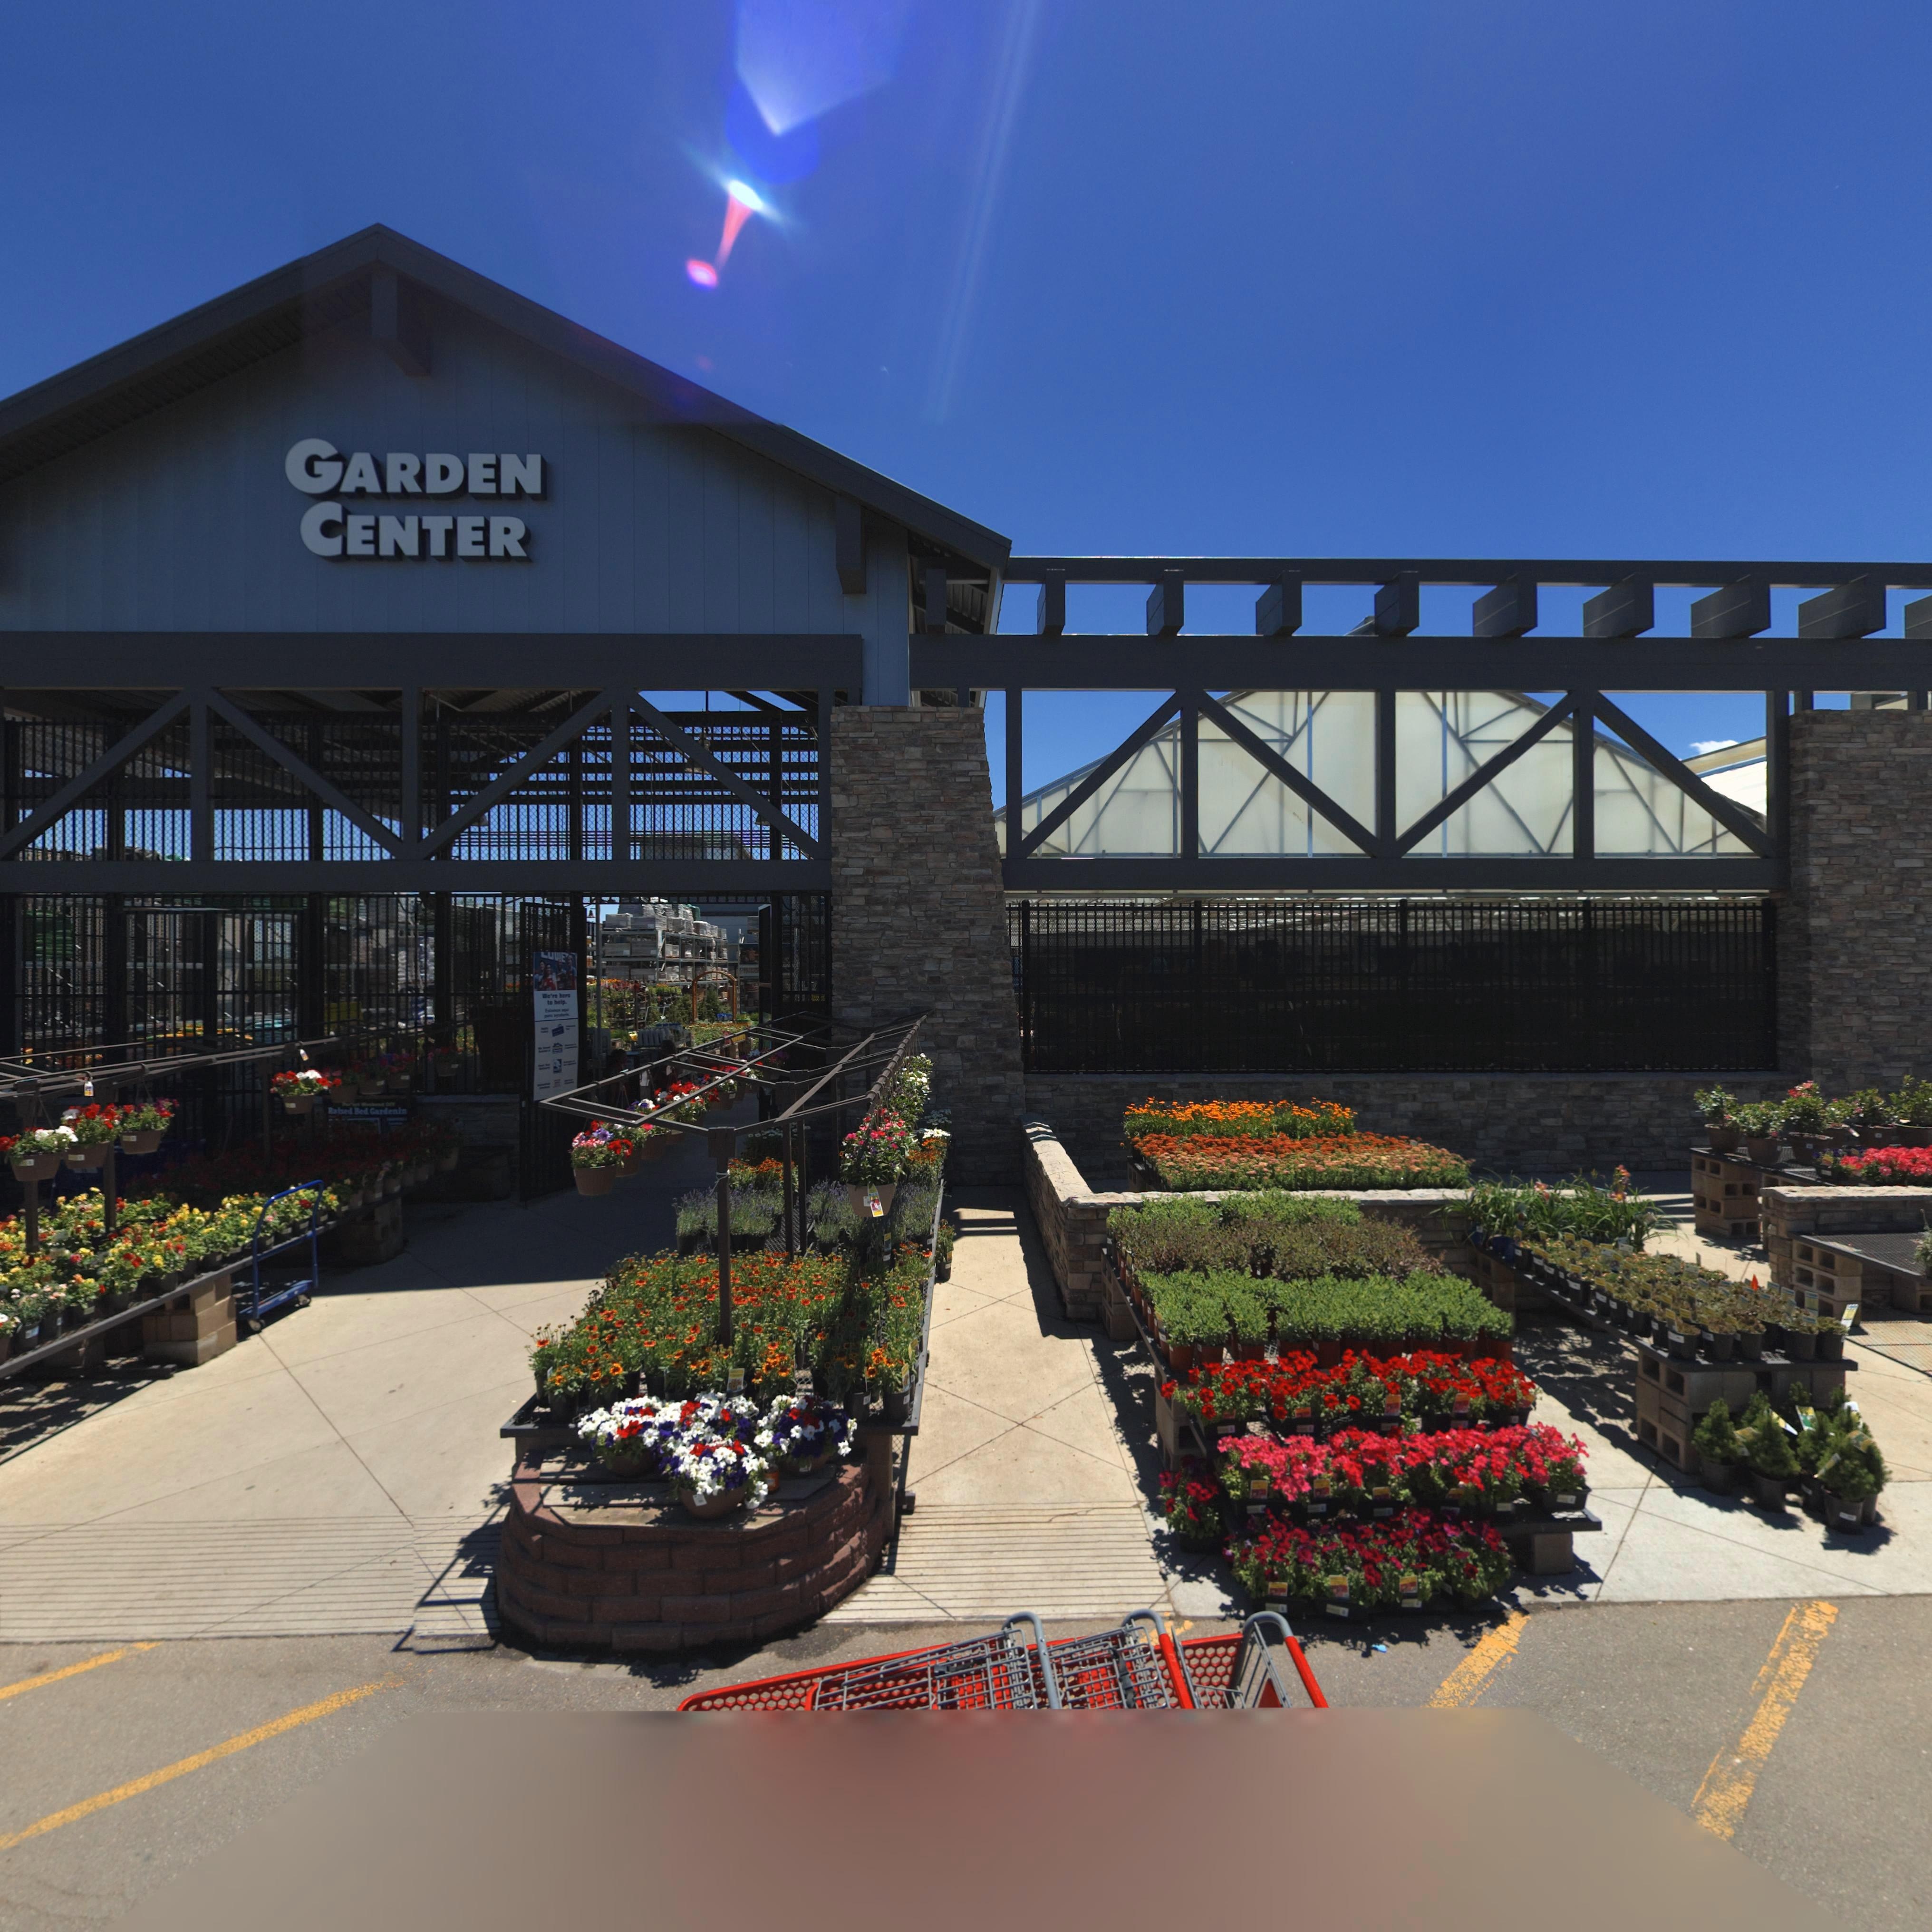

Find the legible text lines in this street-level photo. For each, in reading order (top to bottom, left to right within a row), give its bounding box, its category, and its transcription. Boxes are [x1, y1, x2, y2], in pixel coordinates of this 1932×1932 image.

[553, 951, 566, 964] BusinessName: ES